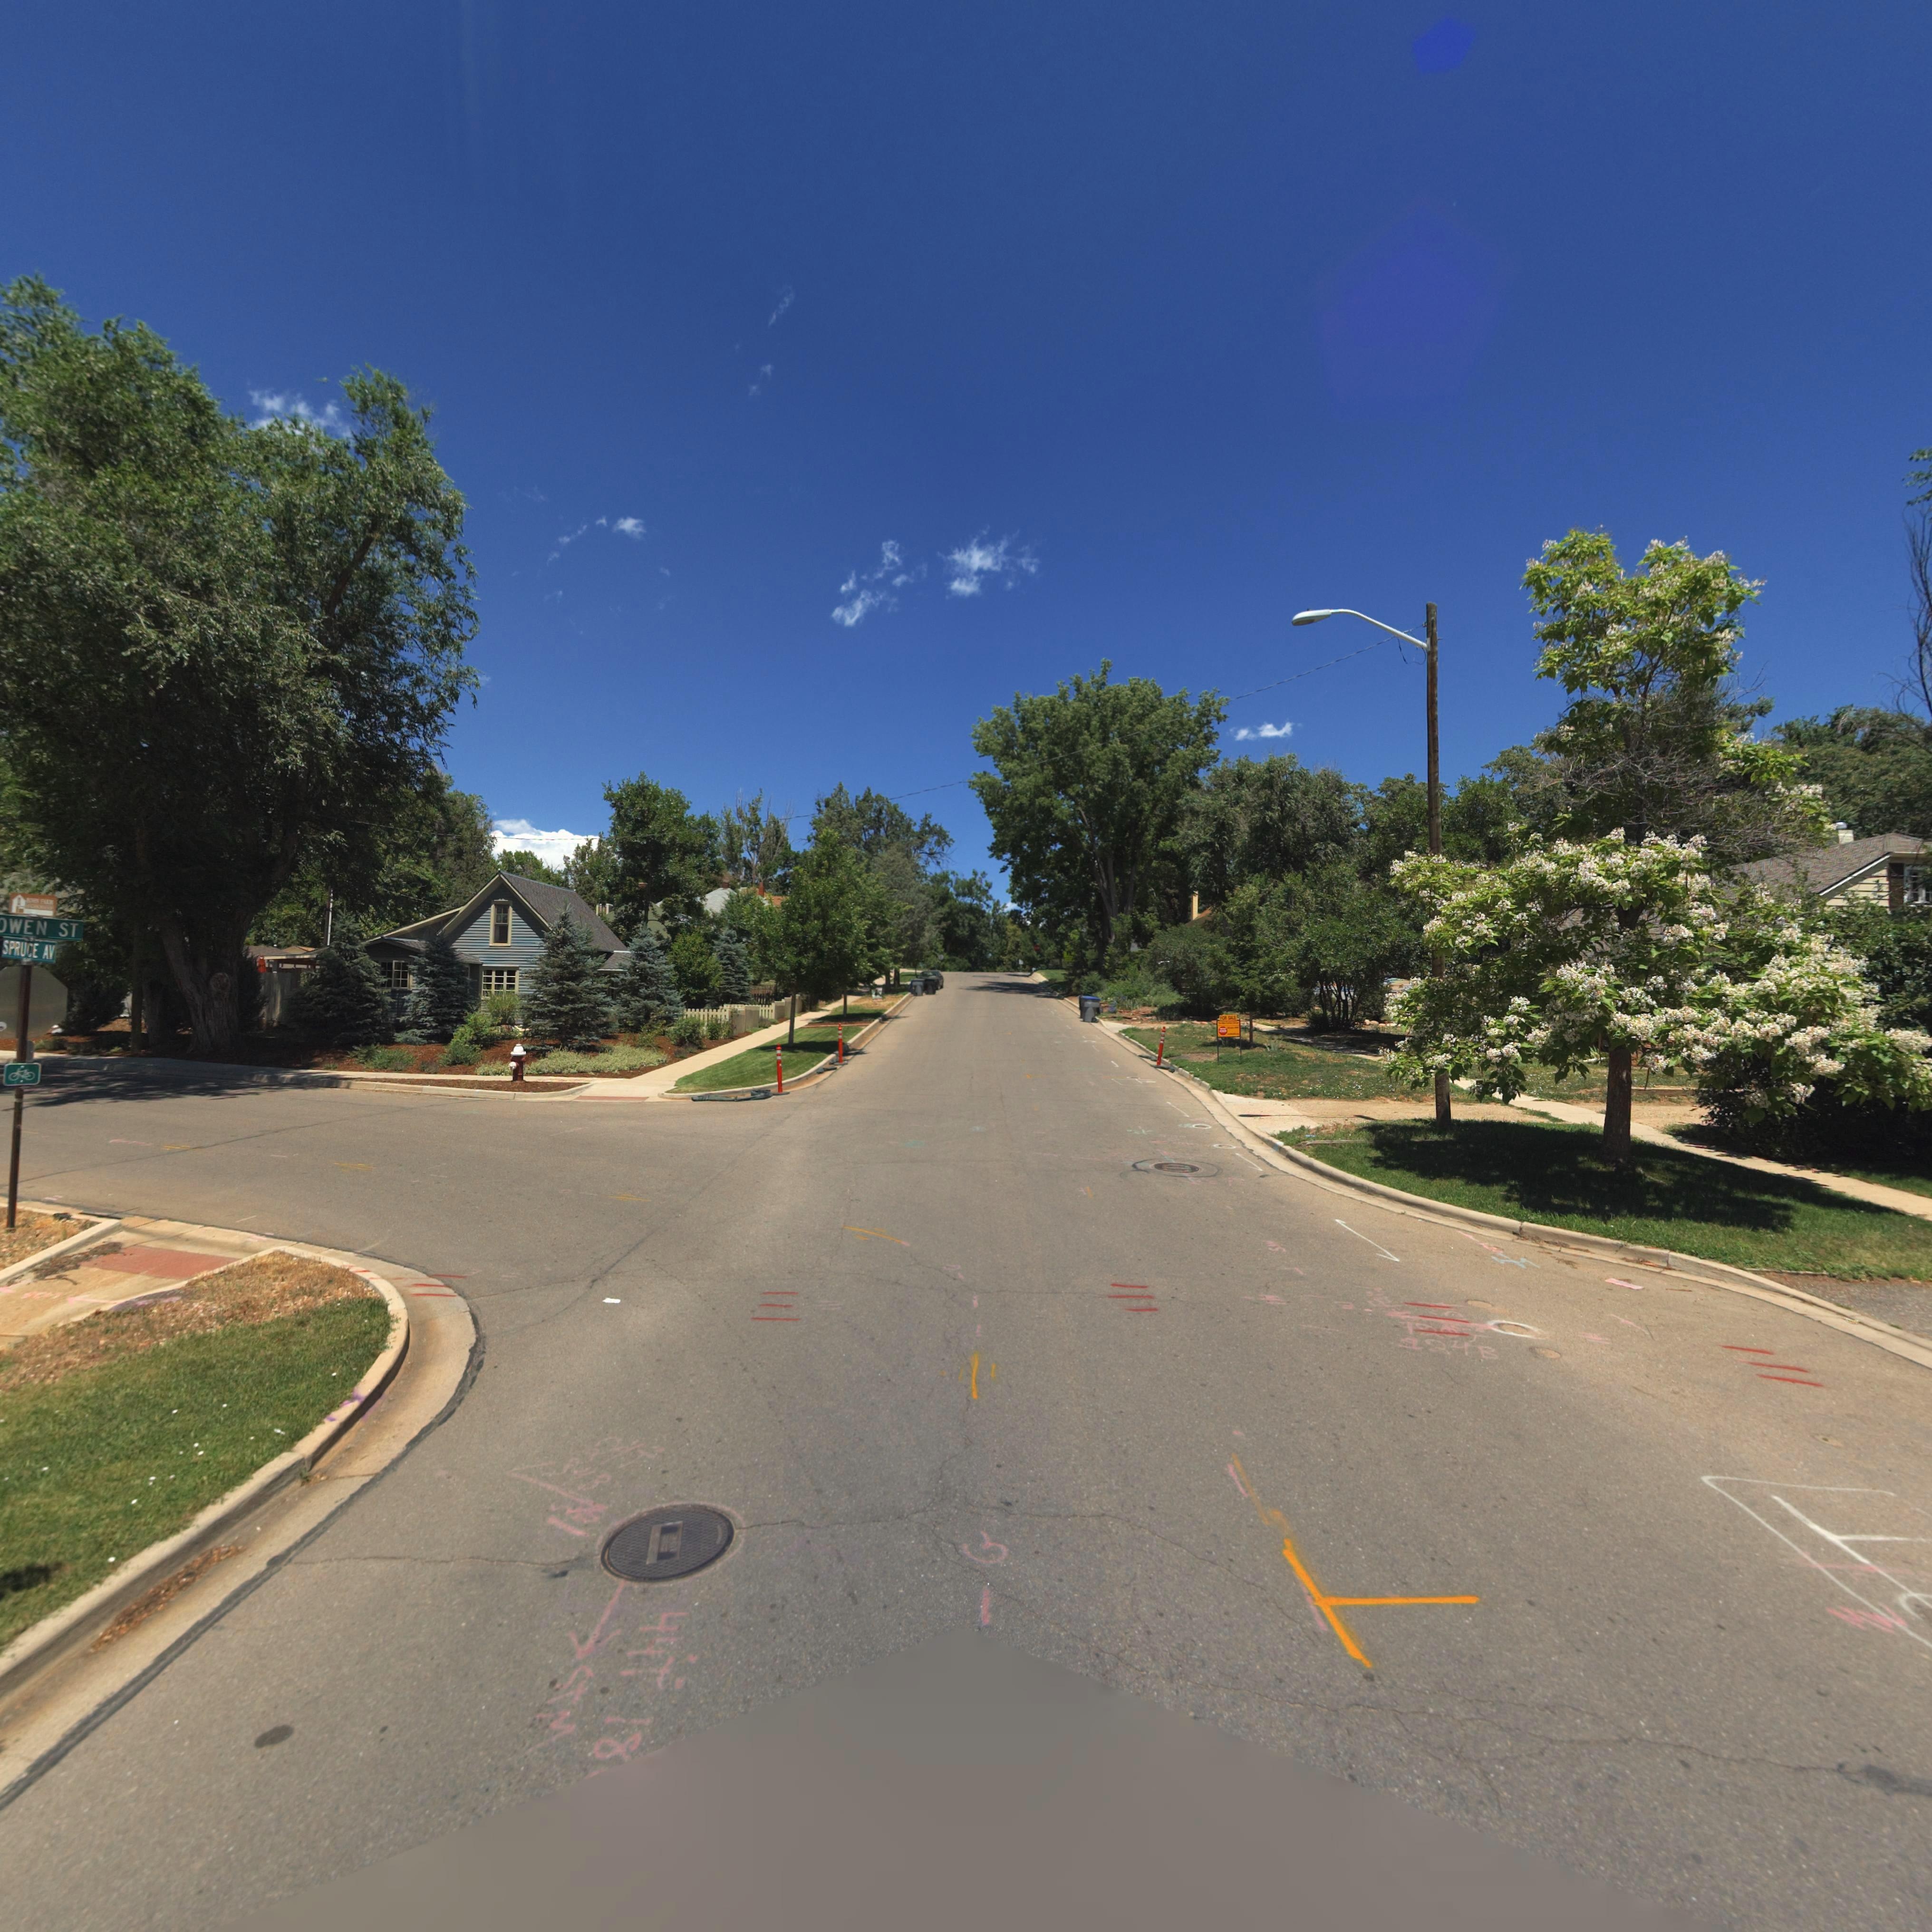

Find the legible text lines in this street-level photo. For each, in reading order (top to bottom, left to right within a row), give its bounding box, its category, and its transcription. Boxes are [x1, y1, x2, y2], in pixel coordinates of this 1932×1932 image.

[8, 918, 78, 938] StreetName: WEN ST
[0, 938, 57, 961] StreetName: SPRUCE AV